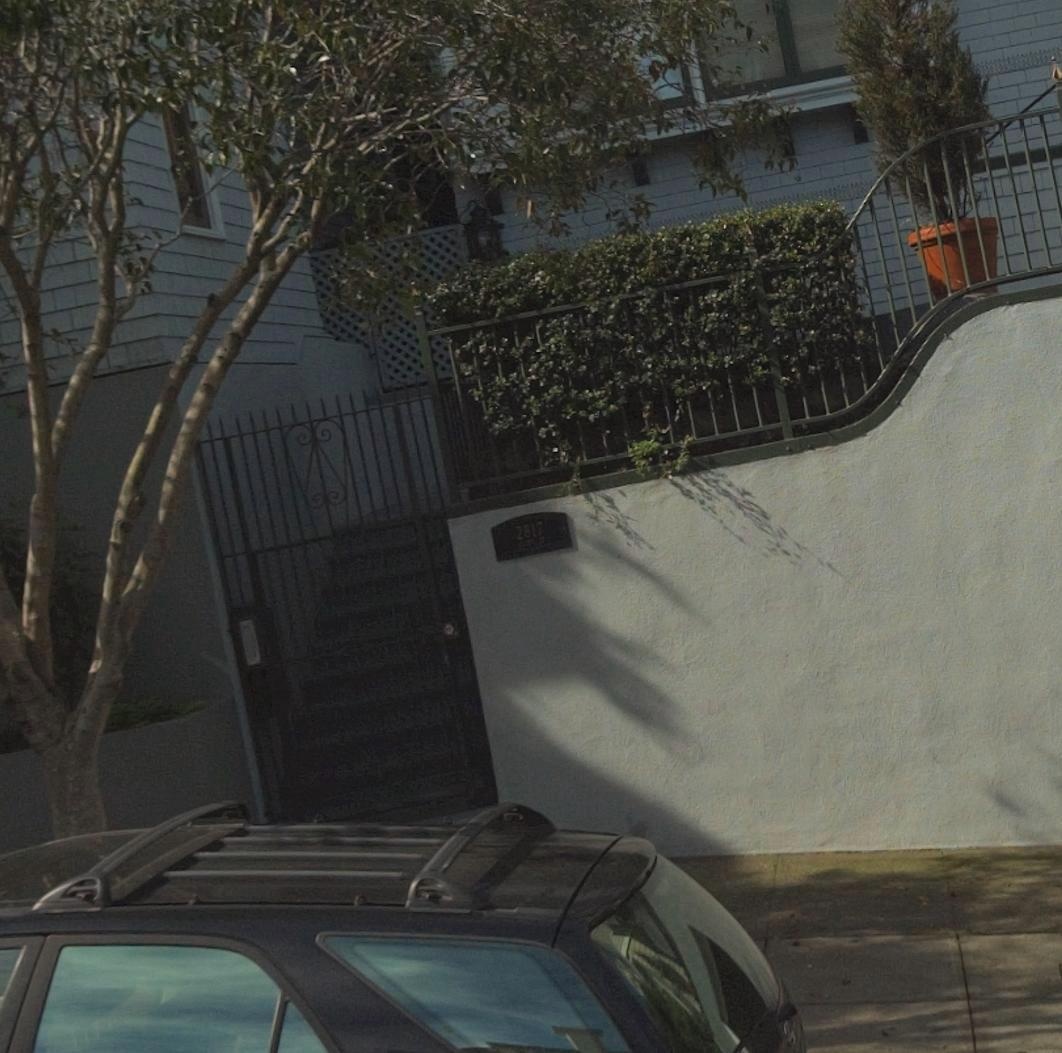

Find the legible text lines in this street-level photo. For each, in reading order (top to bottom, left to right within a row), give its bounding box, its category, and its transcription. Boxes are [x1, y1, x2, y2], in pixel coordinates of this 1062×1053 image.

[512, 518, 545, 543] StreetNumber: 2817